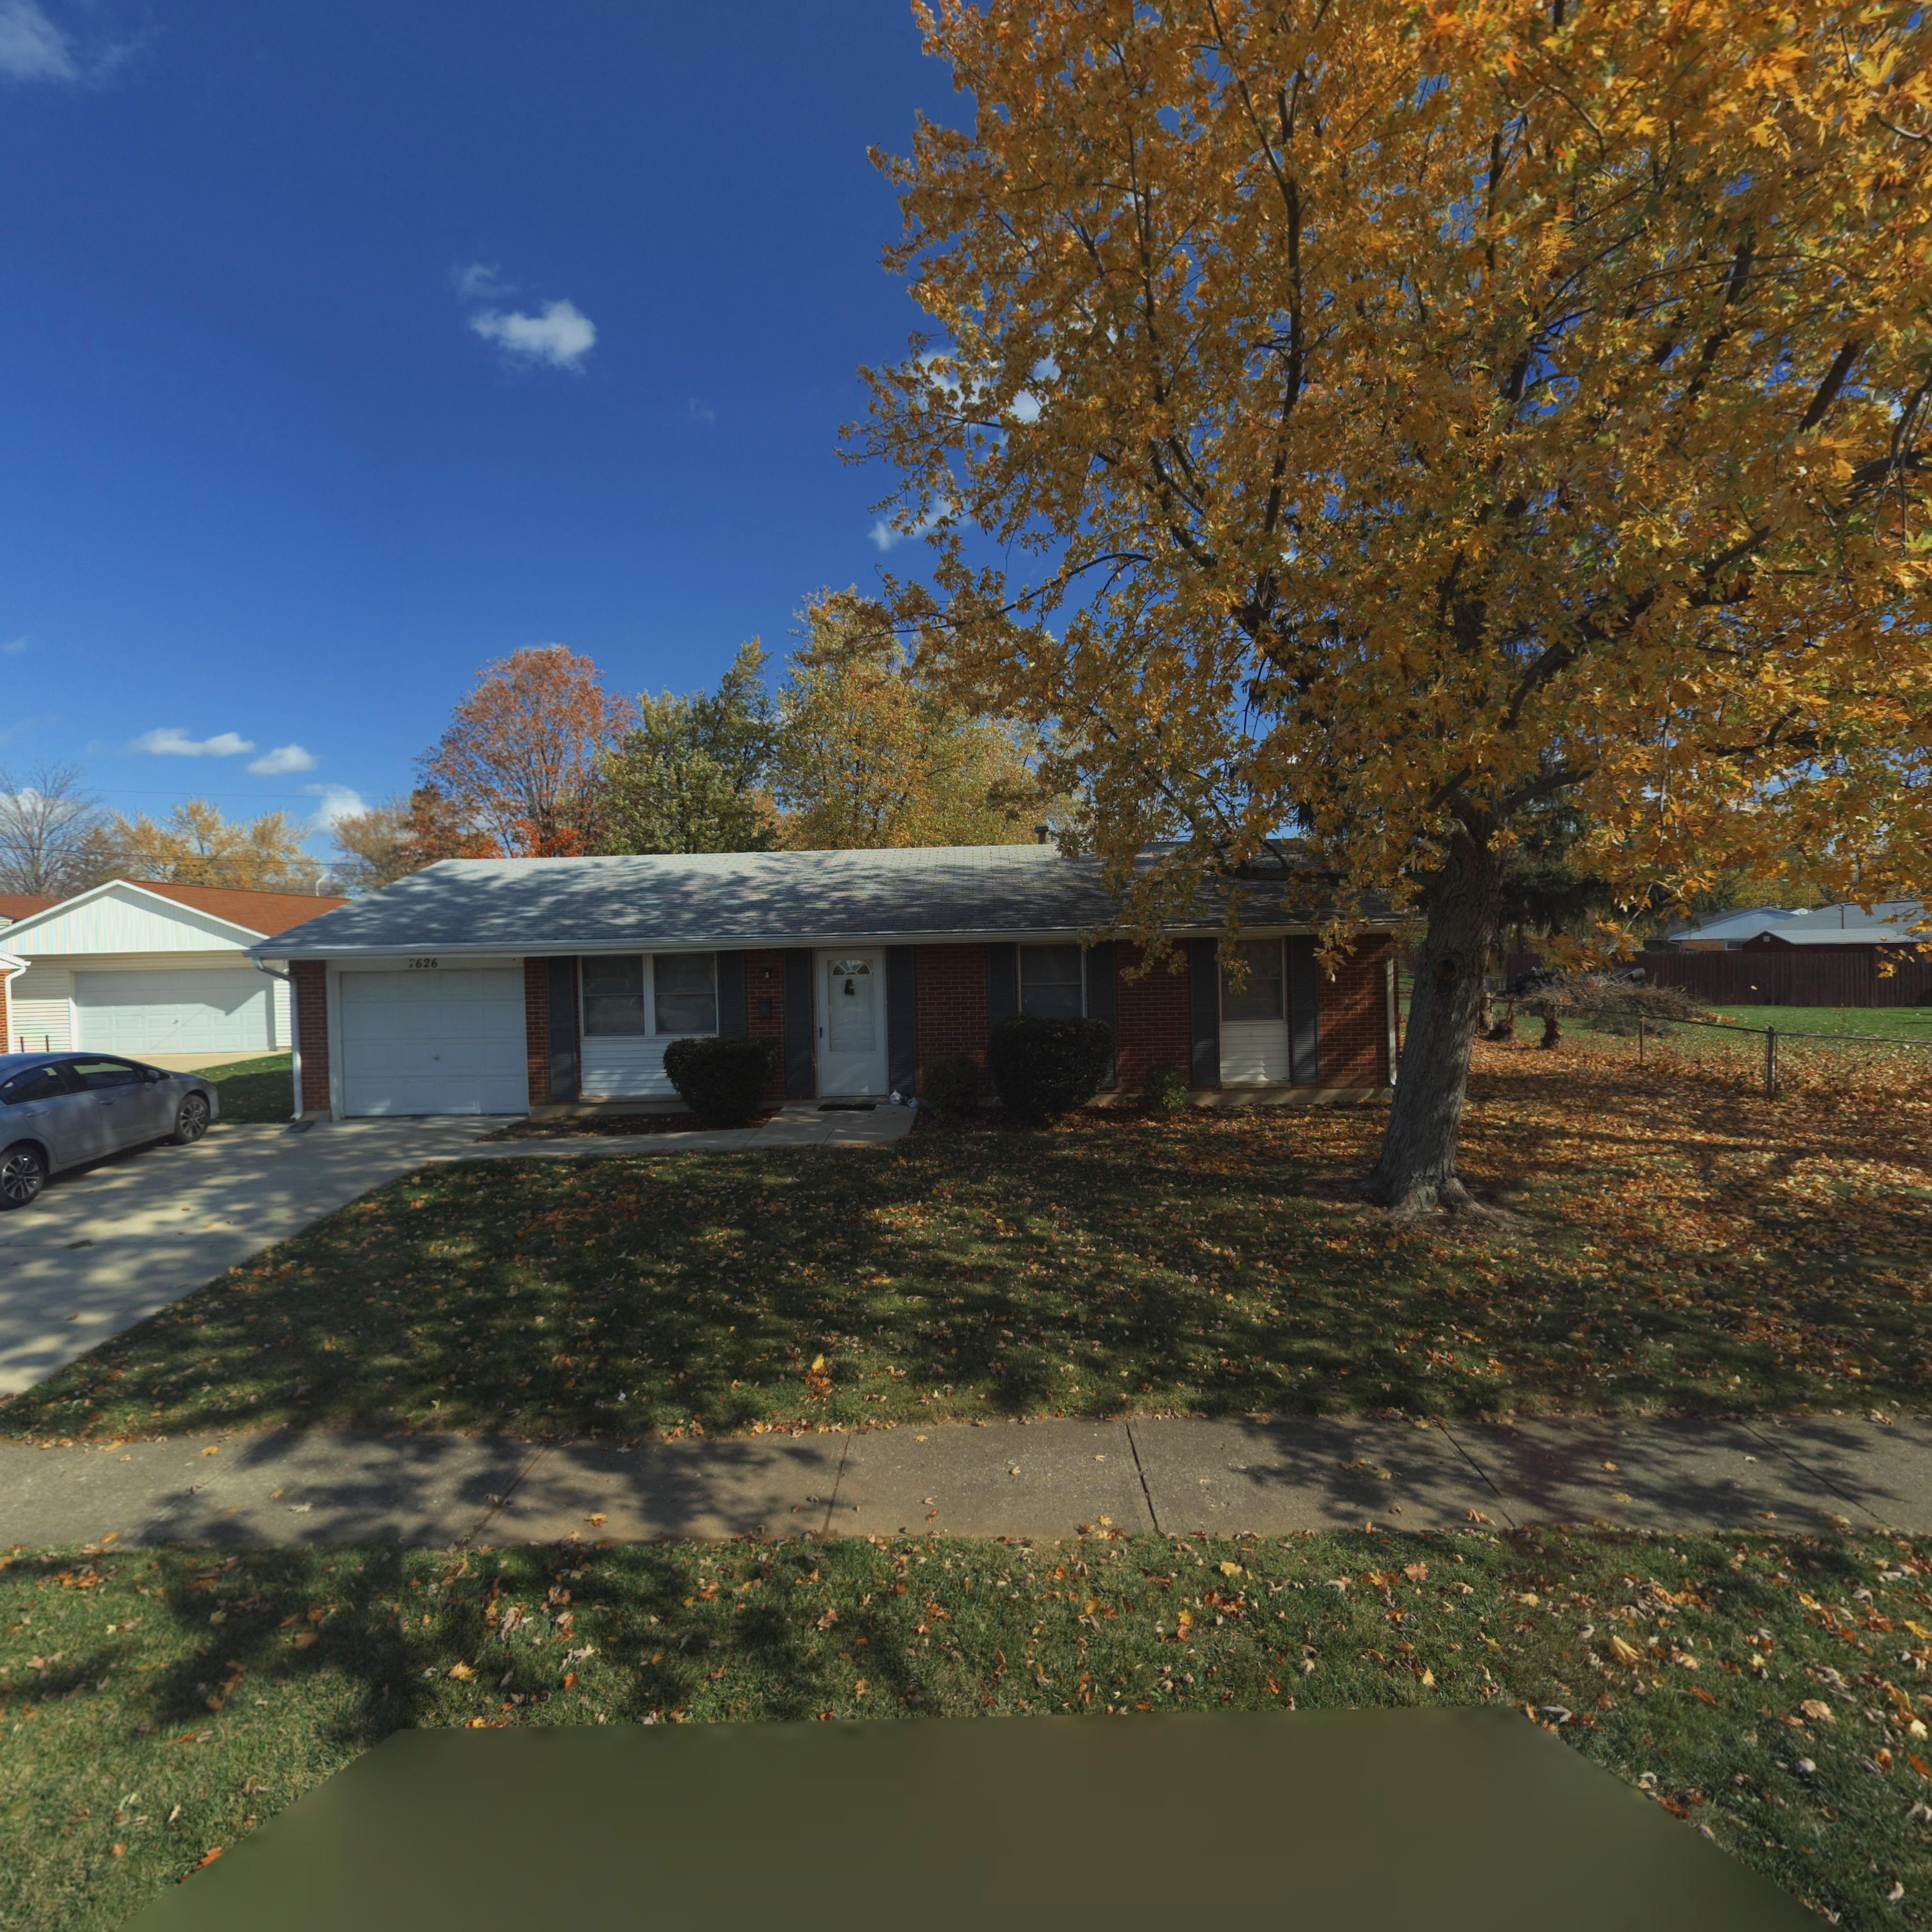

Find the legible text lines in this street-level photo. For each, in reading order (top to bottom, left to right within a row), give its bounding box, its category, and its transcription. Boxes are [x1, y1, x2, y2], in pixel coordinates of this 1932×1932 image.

[408, 957, 438, 969] StreetNumber: 7626